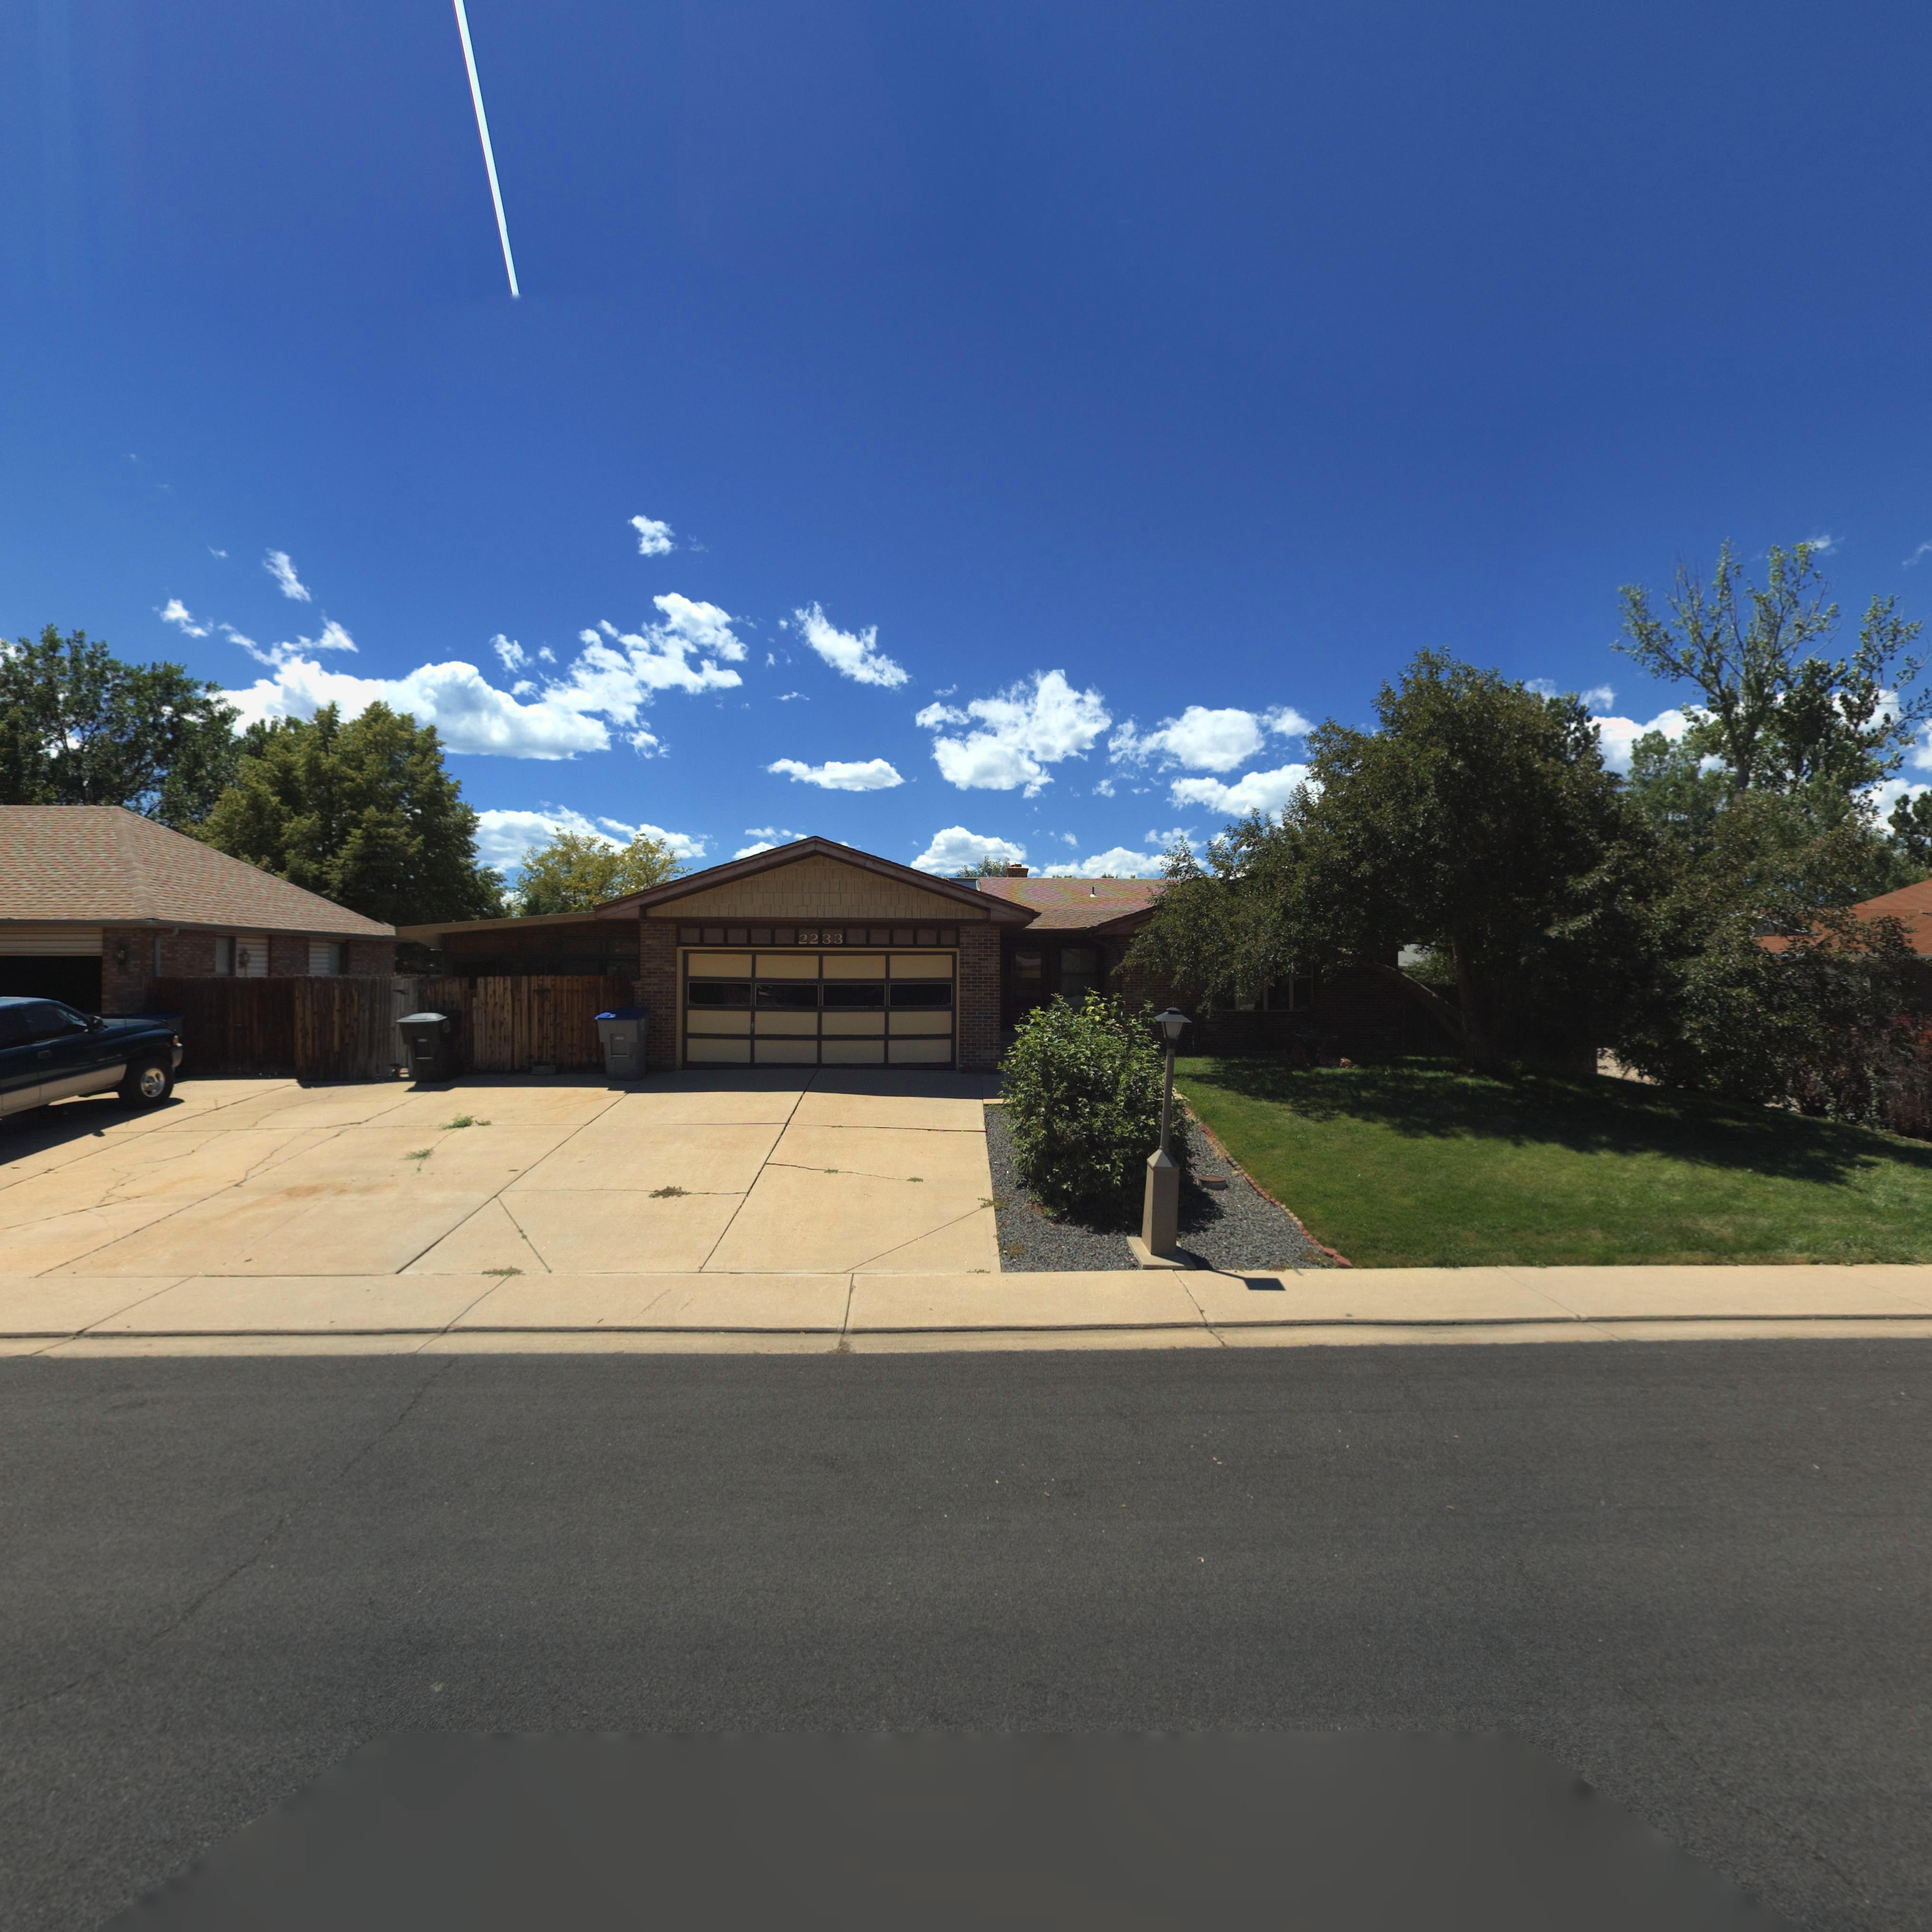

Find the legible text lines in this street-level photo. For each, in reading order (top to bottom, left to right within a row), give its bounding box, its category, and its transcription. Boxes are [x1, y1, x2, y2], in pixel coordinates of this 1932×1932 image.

[798, 933, 843, 945] StreetNumber: 2233